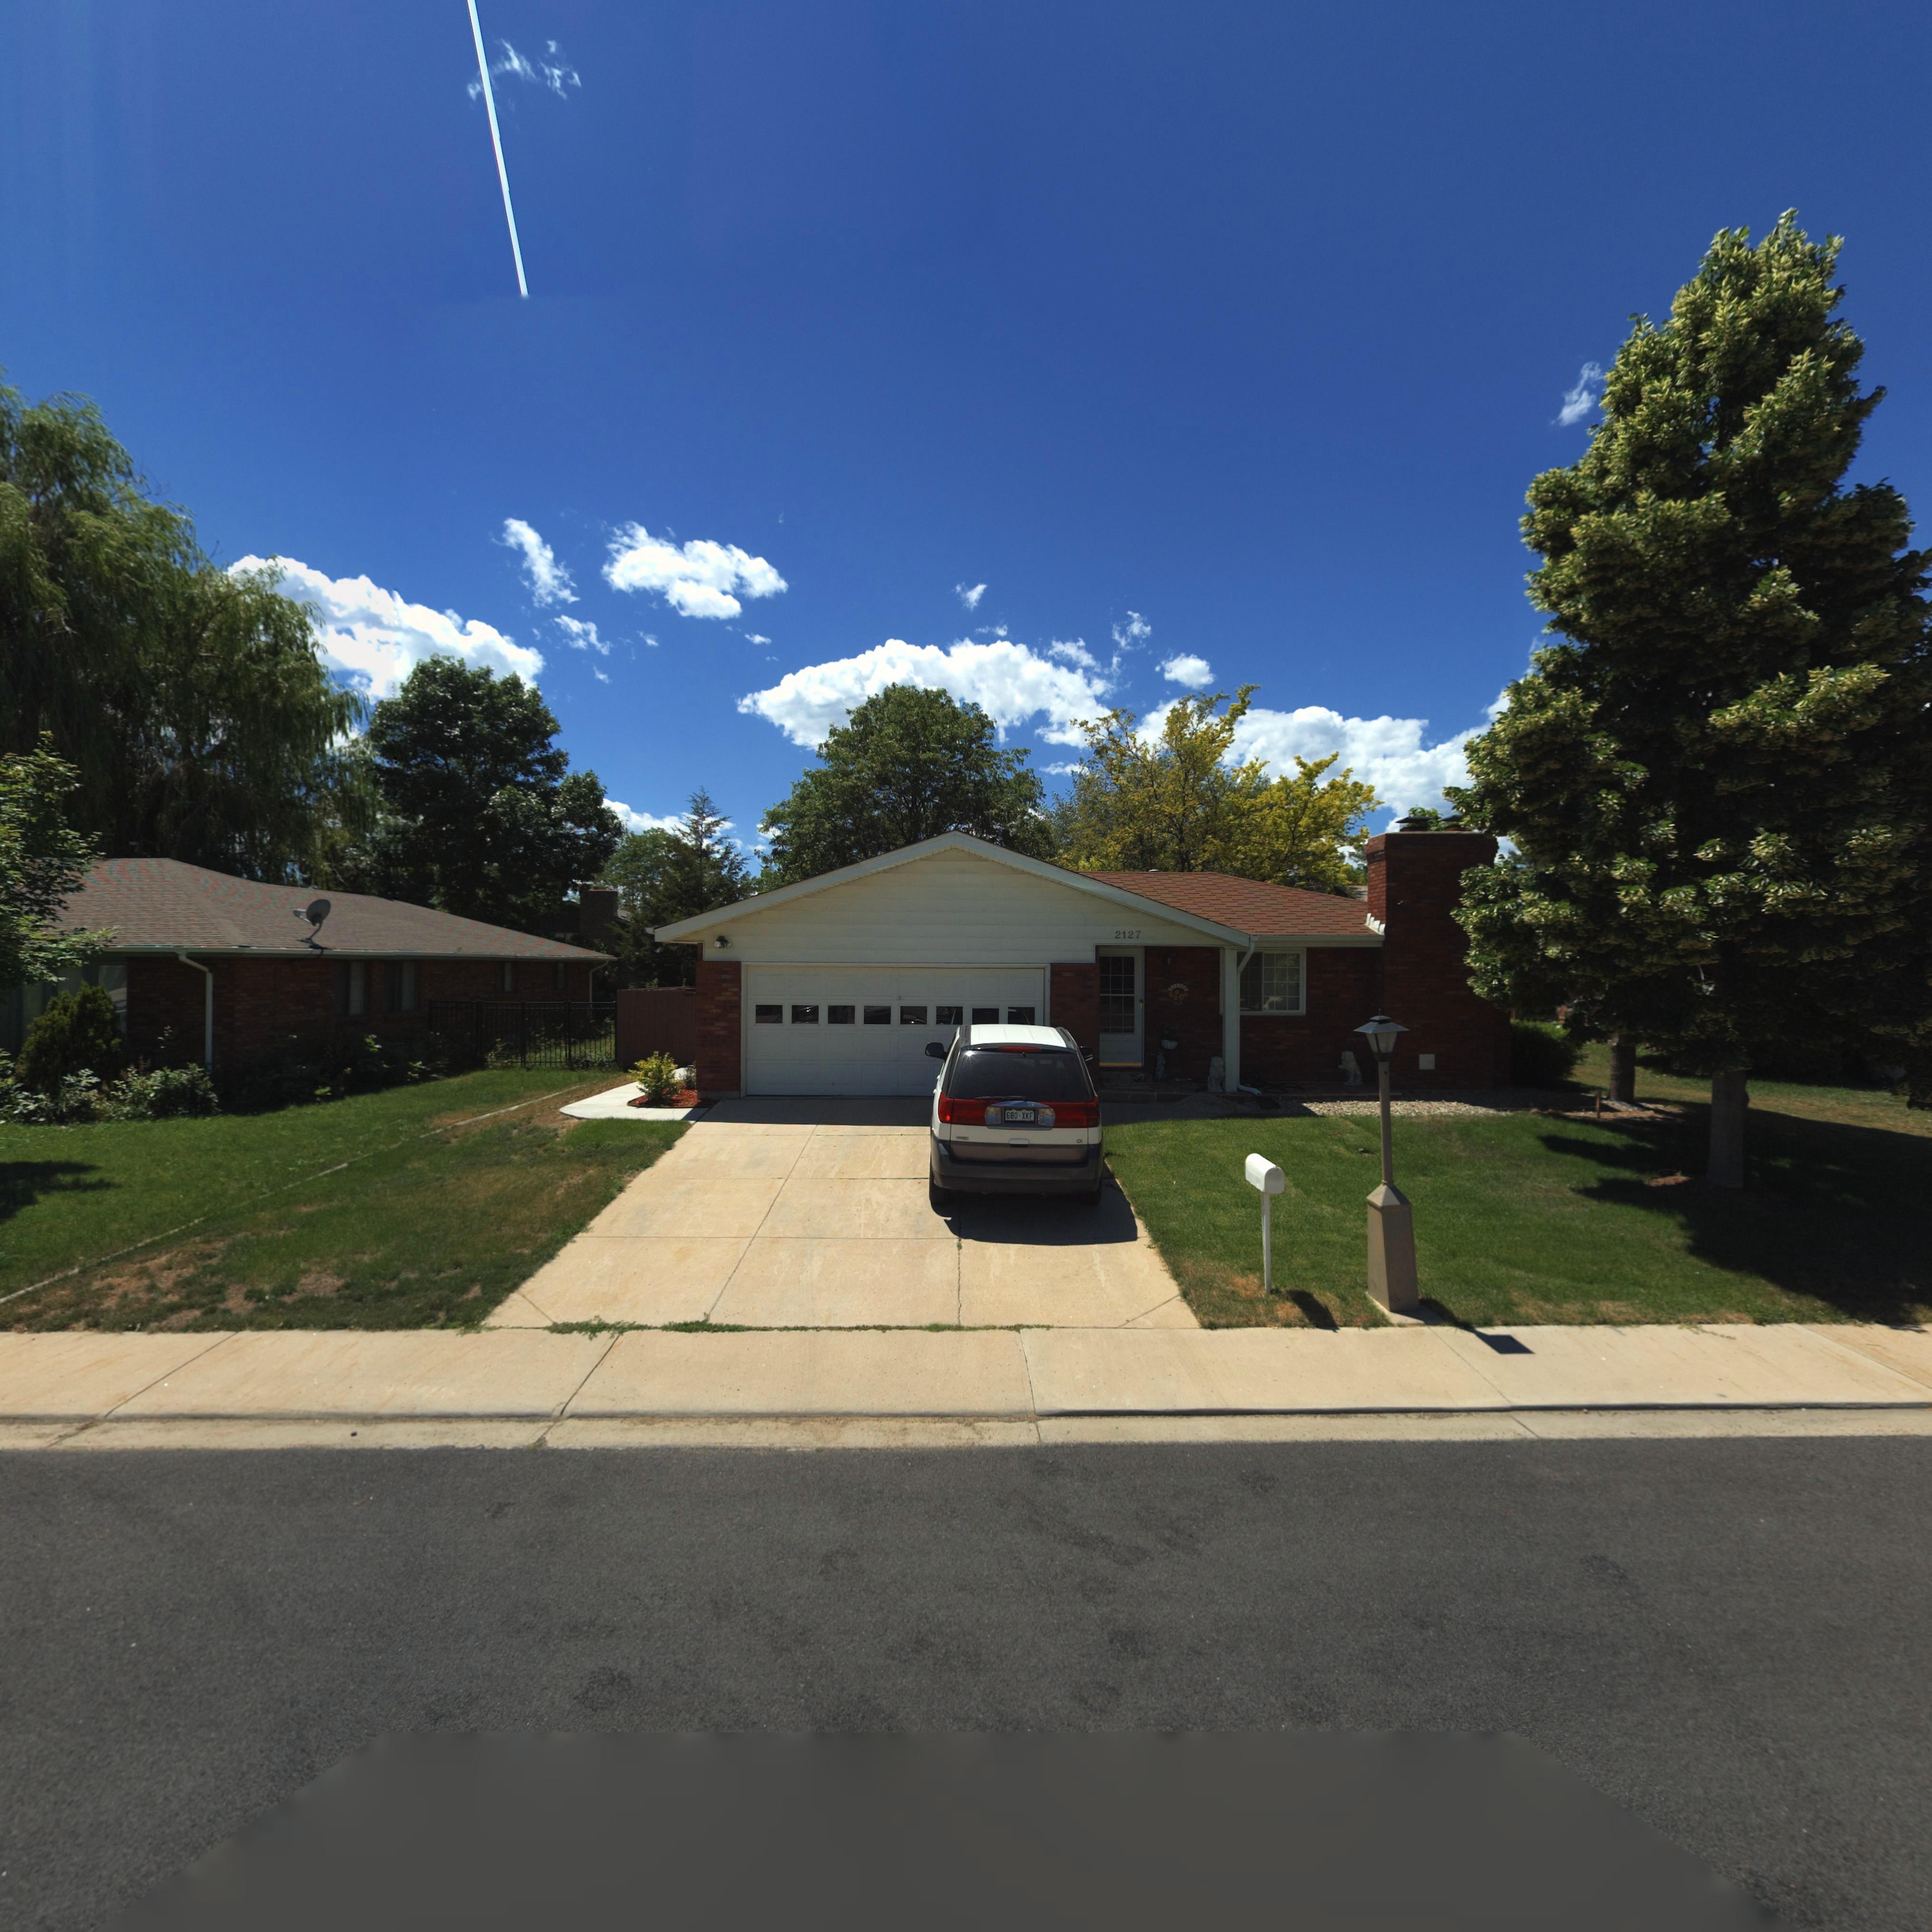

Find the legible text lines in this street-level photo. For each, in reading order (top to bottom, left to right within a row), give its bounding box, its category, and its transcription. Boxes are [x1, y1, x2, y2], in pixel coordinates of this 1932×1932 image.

[1114, 930, 1141, 939] StreetNumber: 2127